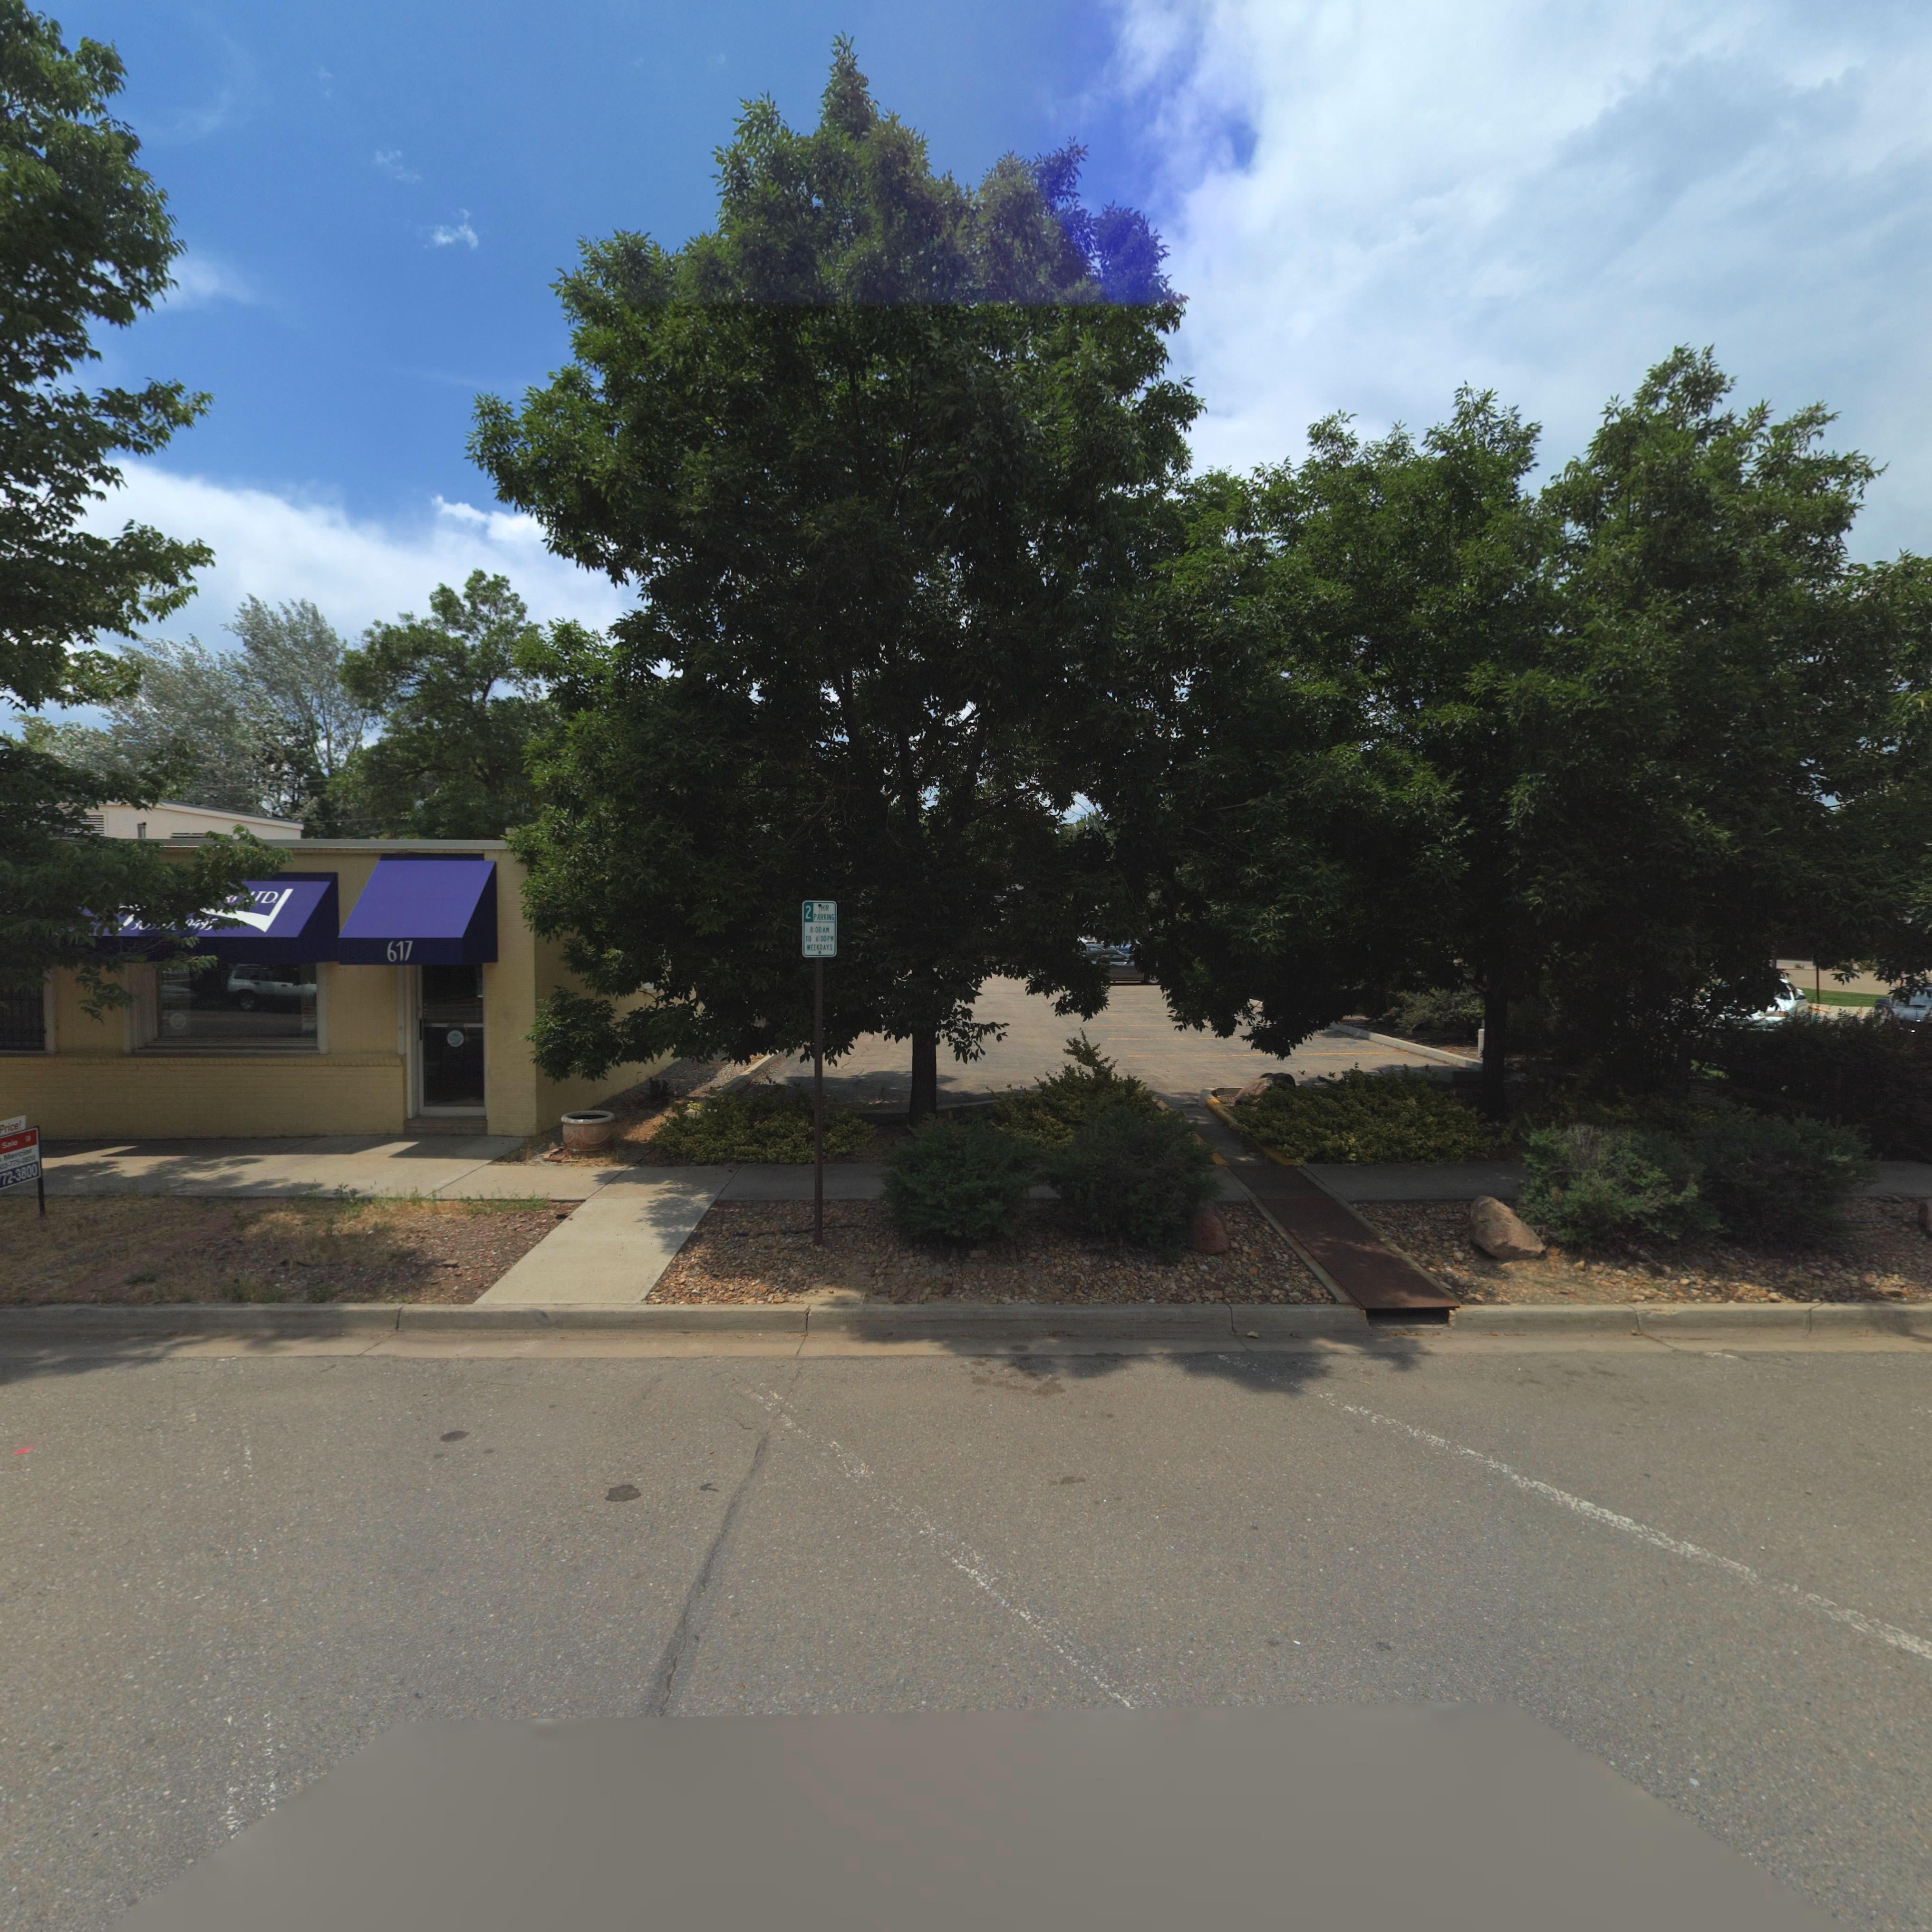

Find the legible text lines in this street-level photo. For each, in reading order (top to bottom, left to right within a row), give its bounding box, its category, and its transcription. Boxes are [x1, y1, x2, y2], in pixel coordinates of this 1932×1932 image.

[242, 889, 280, 904] BusinessName: *TD.
[386, 940, 413, 963] StreetNumber: 617